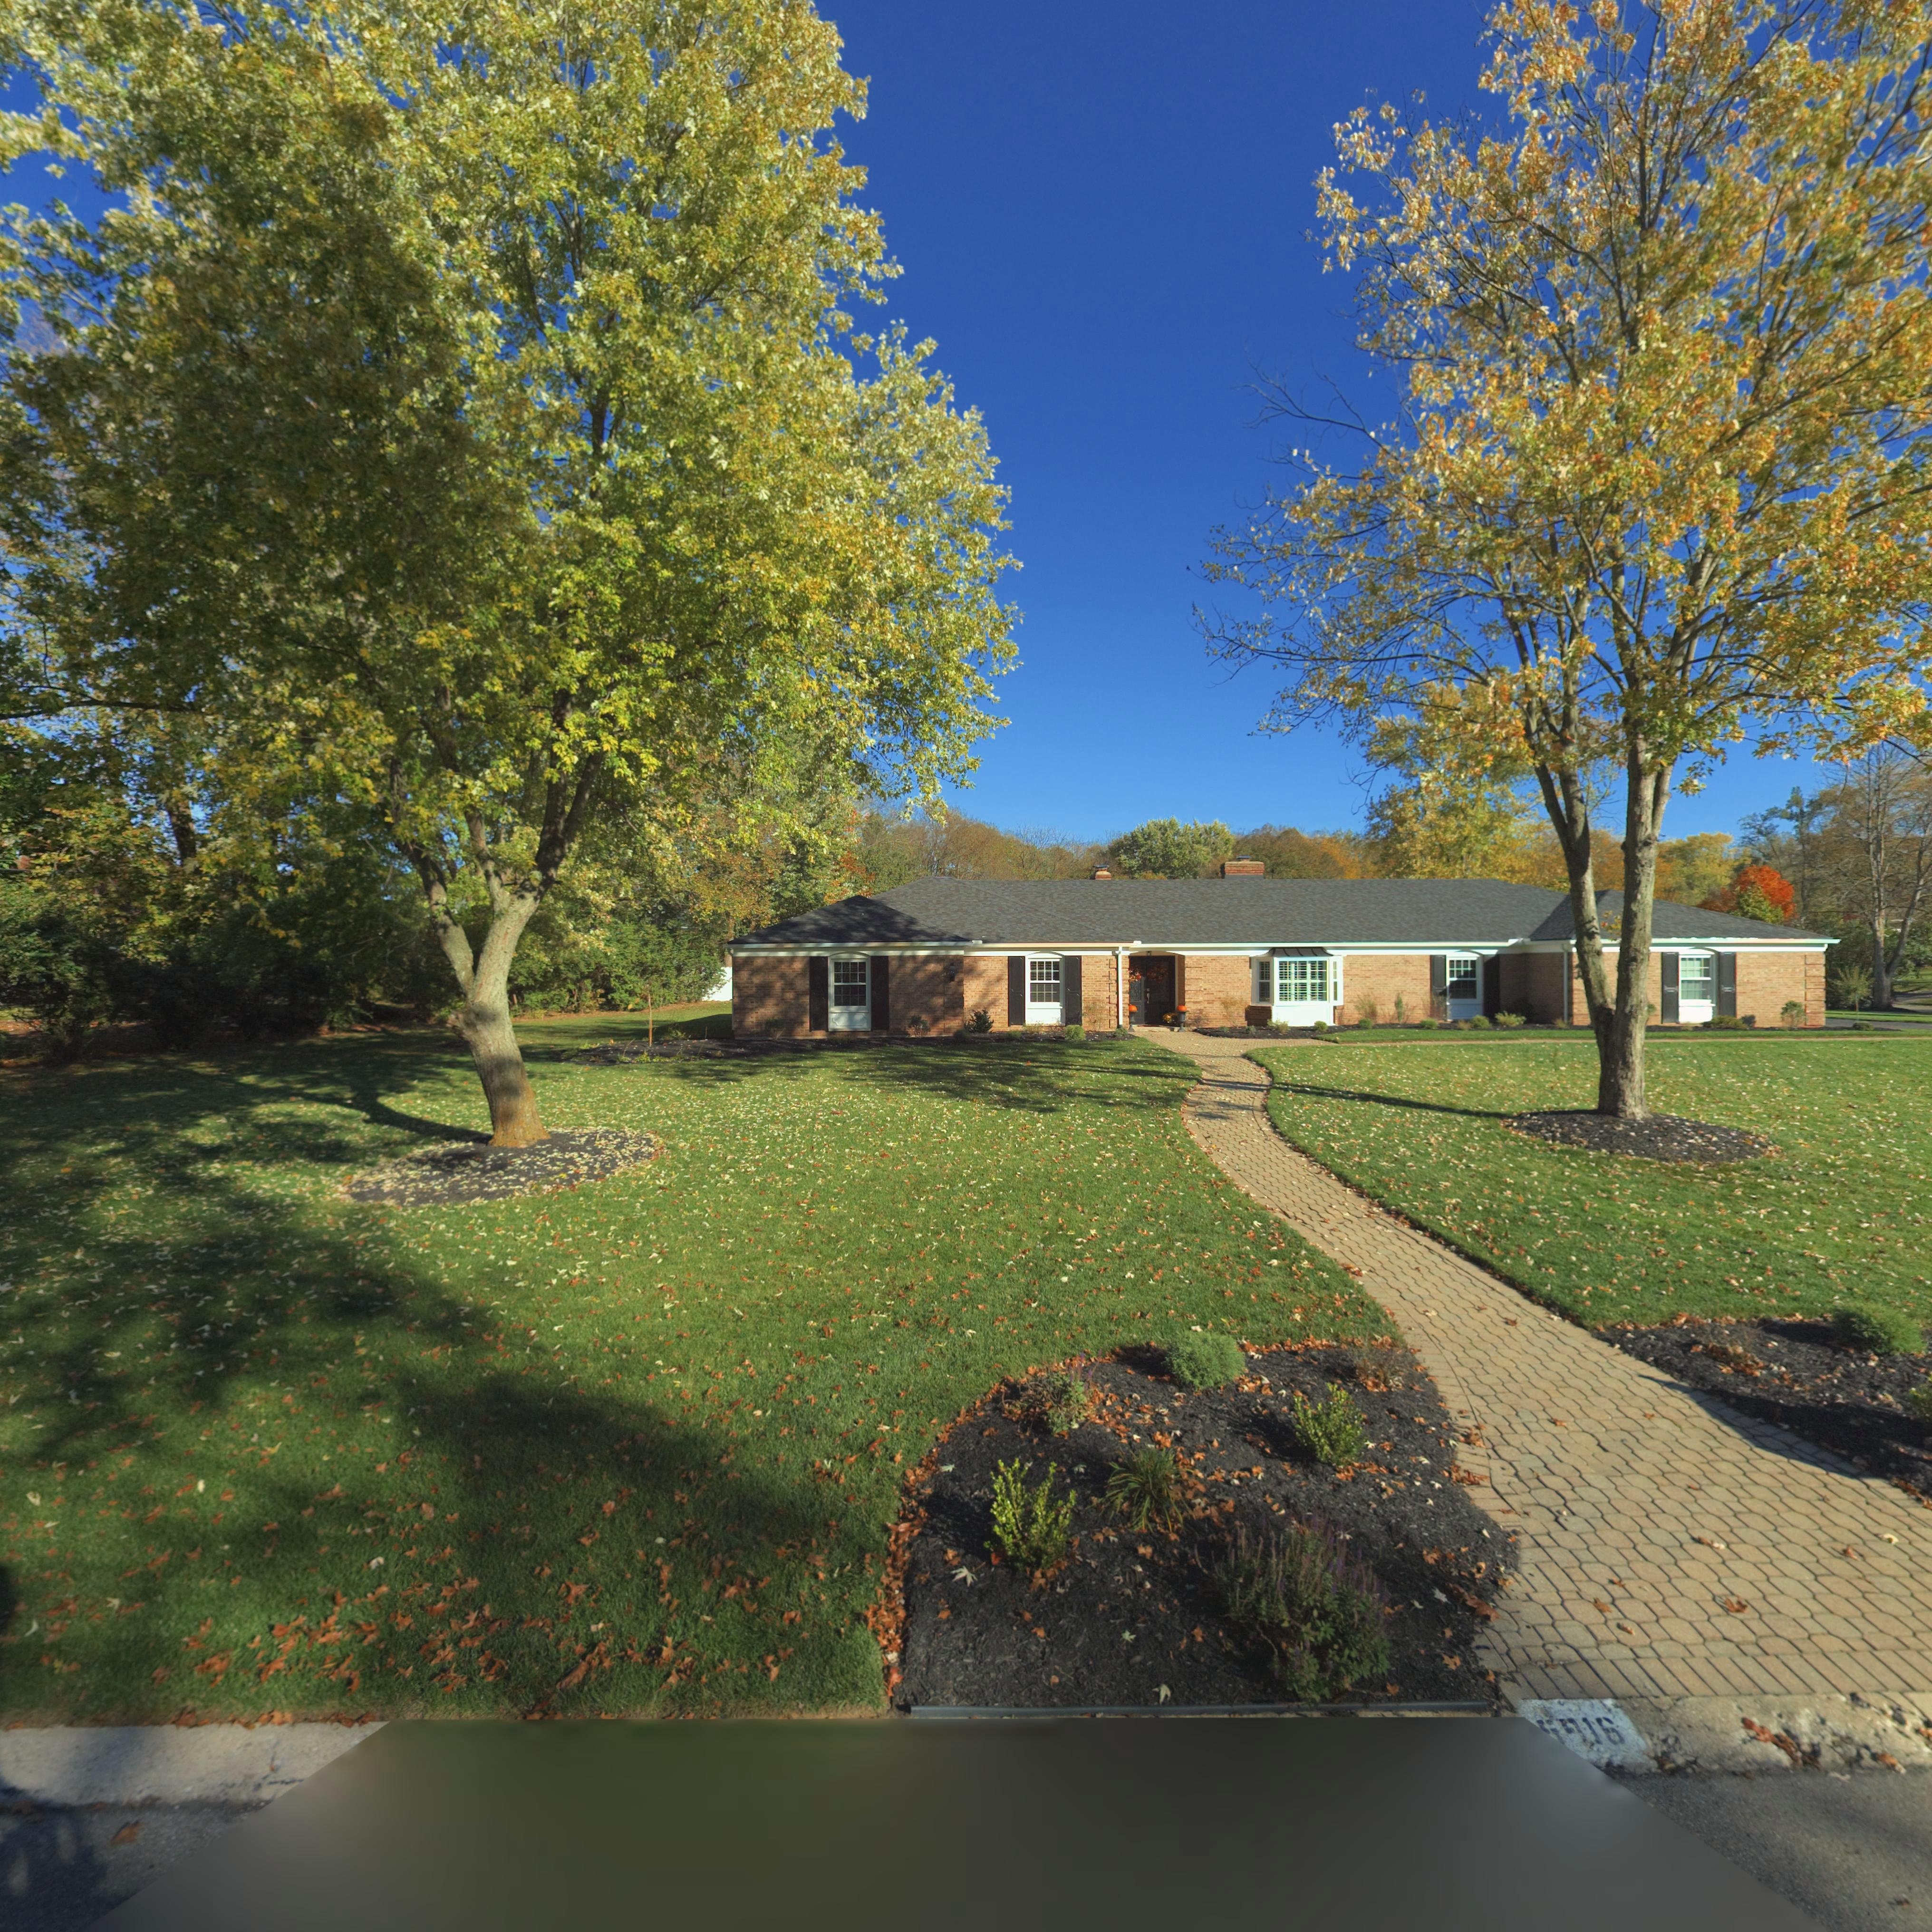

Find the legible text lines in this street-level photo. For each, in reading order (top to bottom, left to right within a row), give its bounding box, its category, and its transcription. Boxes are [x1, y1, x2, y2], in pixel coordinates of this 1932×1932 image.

[1559, 1713, 1628, 1748] StreetNumber: 916